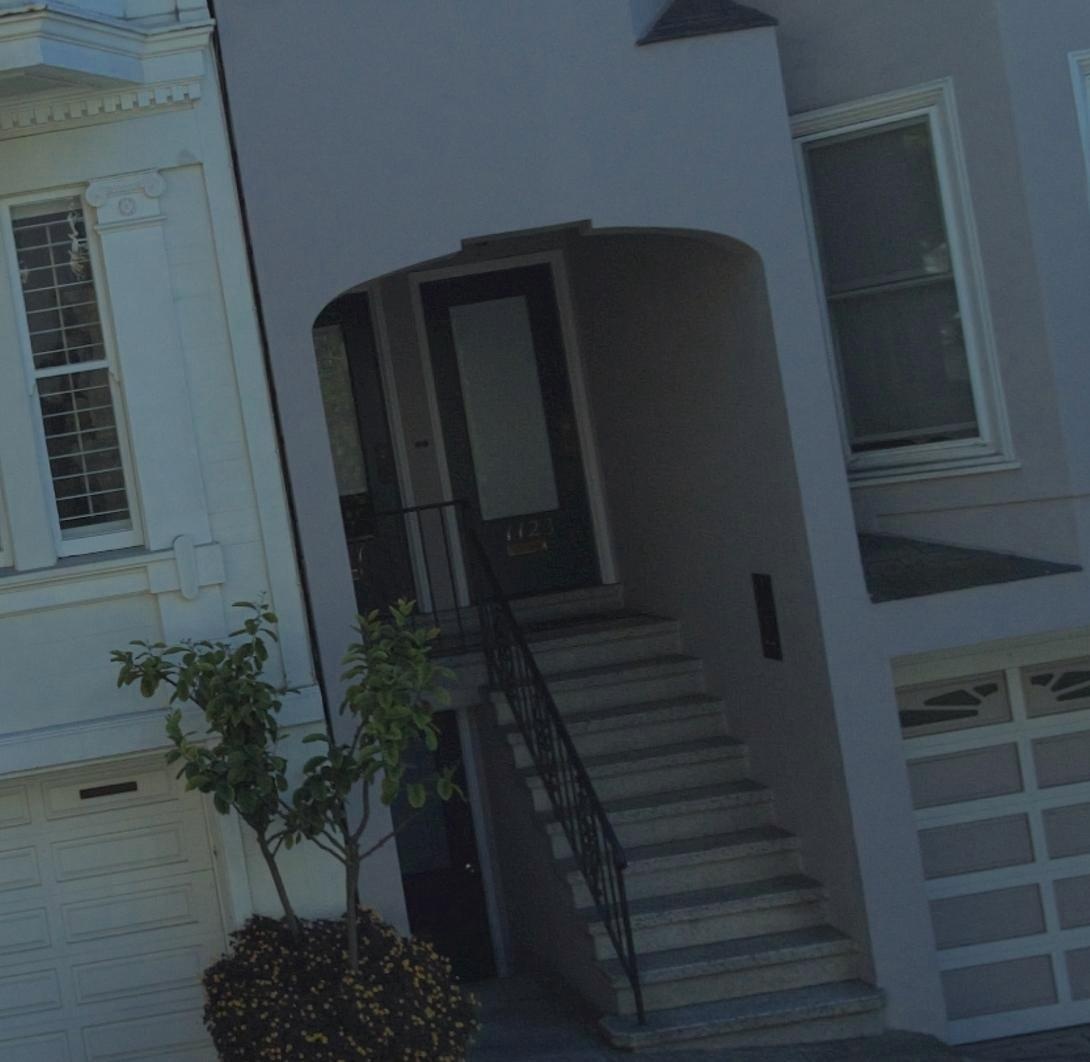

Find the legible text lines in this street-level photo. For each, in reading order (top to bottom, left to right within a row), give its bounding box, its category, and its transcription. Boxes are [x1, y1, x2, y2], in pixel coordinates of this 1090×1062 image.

[503, 512, 558, 545] StreetNumber: 1123
[355, 540, 368, 564] StreetNumber: 1